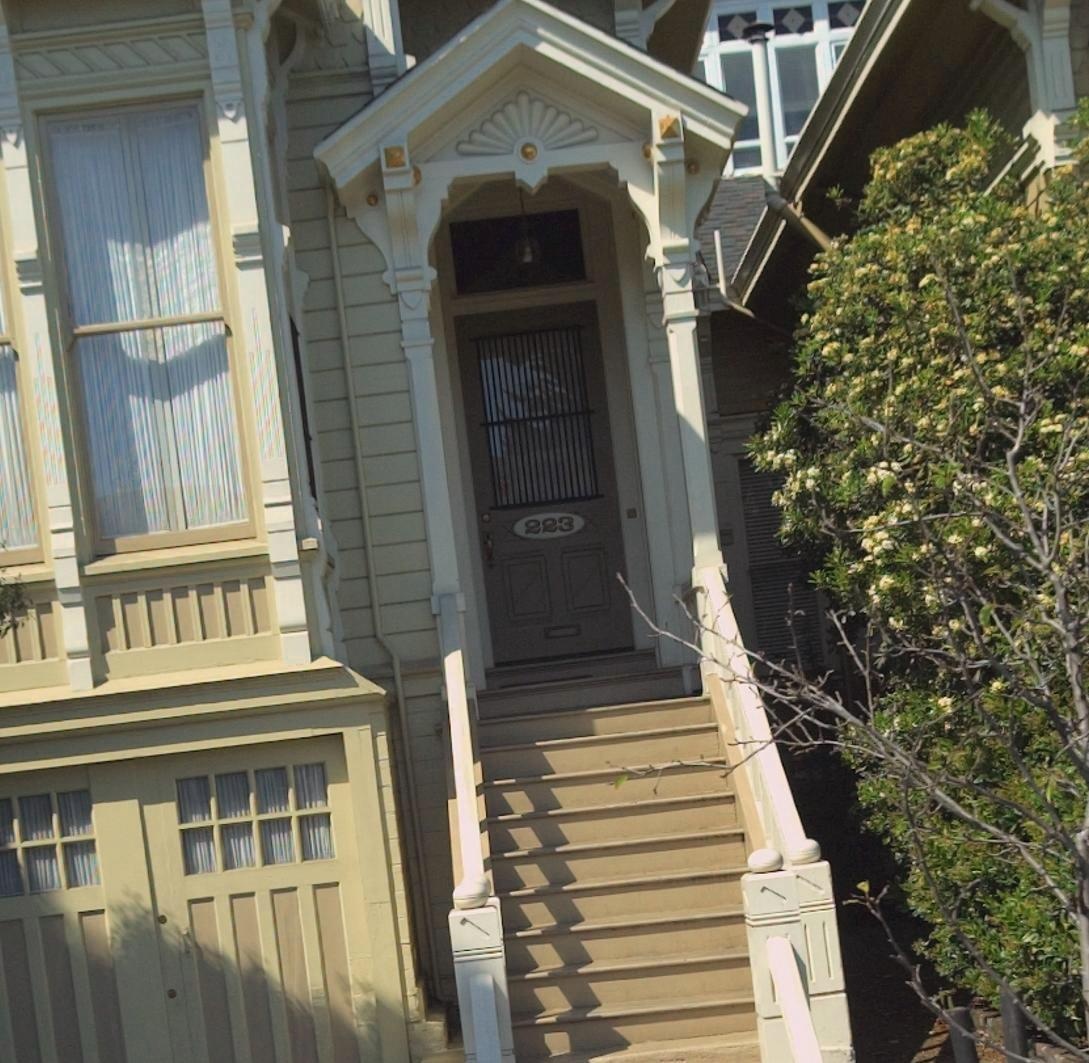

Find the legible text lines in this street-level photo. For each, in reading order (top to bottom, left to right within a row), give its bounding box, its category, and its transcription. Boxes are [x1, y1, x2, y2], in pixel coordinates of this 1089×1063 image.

[523, 515, 576, 535] StreetNumber: 223